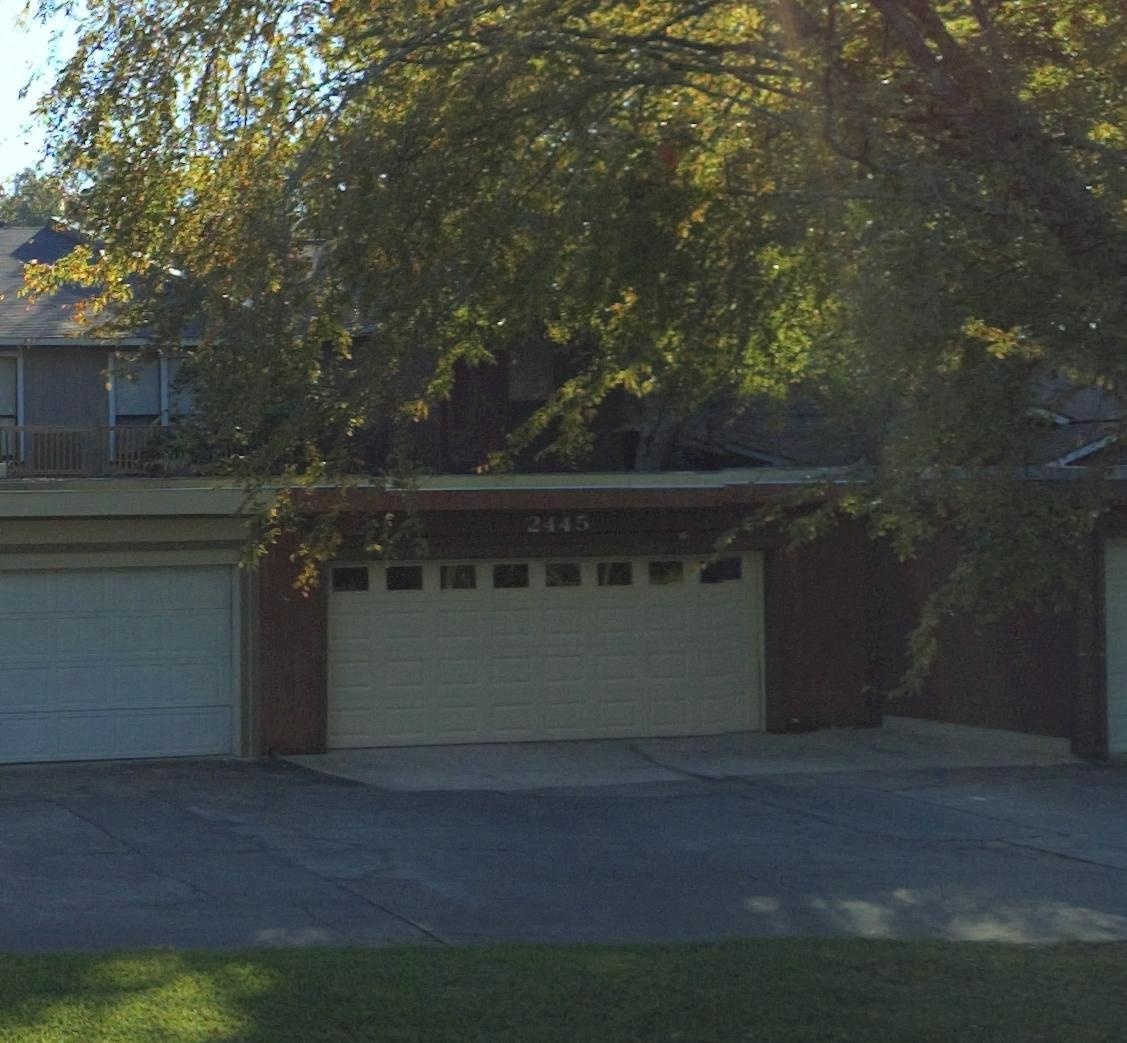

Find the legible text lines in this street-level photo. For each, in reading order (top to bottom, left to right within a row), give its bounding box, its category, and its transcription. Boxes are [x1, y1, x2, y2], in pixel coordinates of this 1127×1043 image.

[525, 513, 591, 535] StreetNumber: 2445